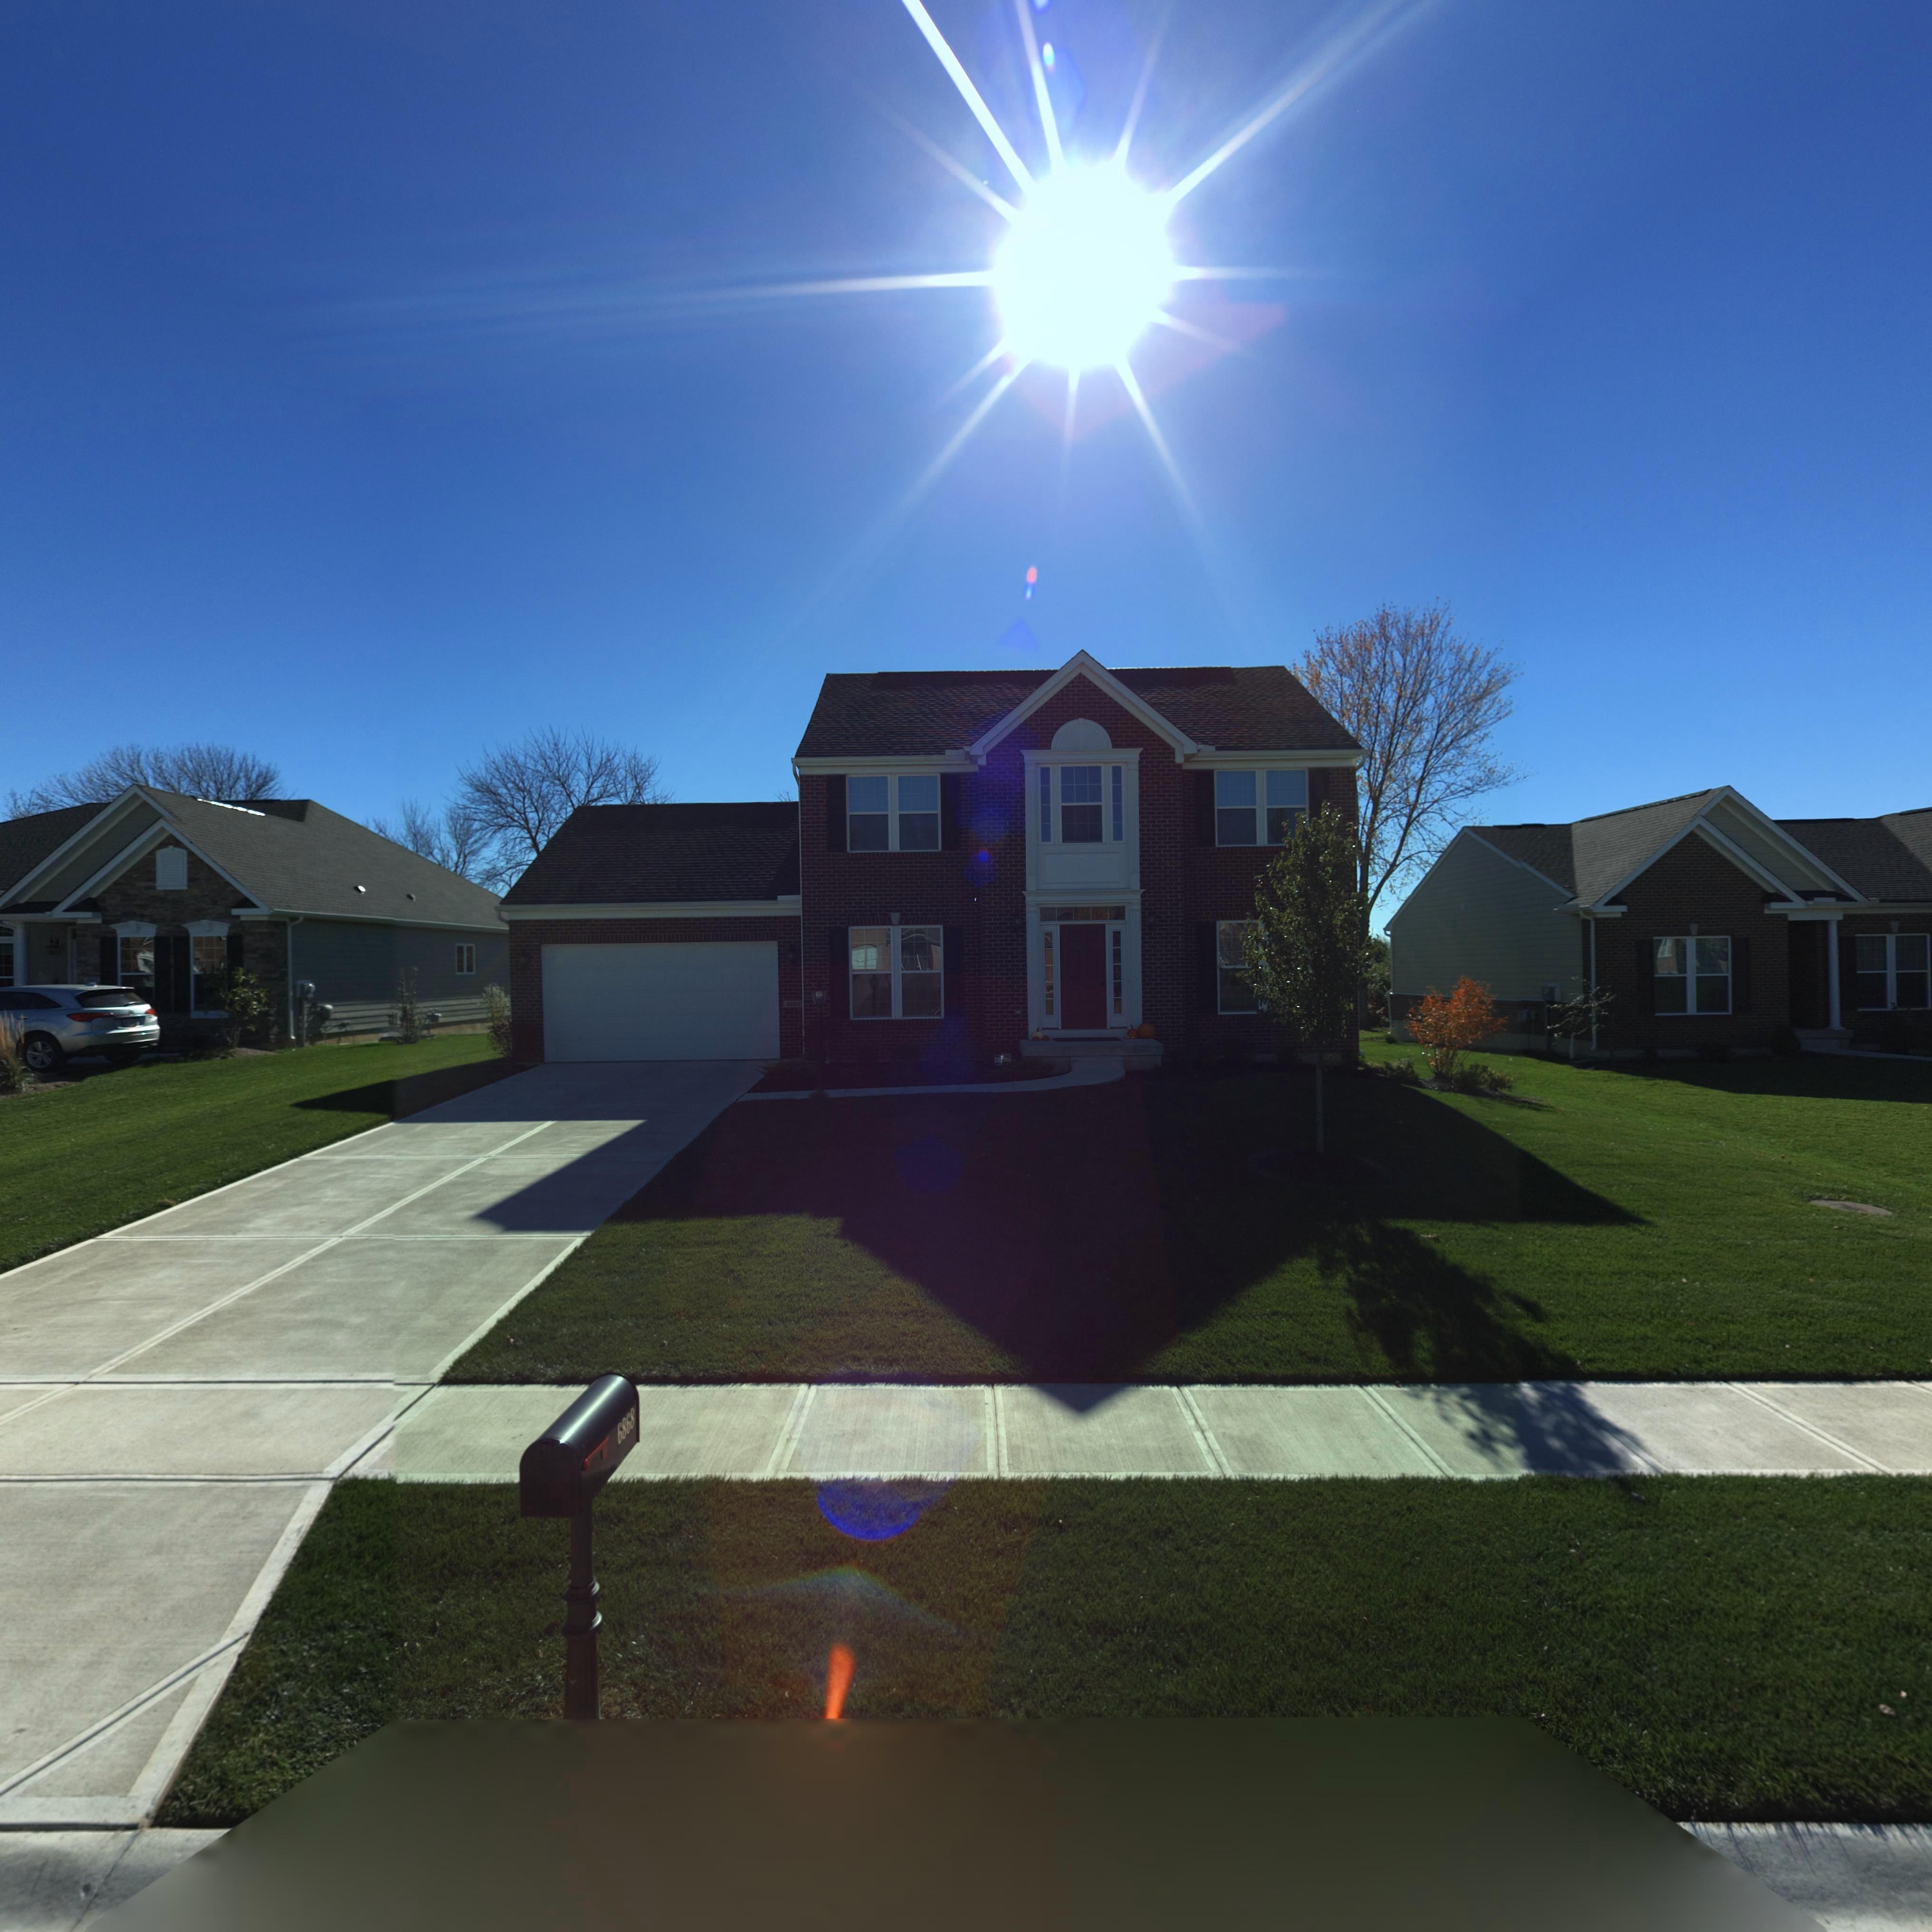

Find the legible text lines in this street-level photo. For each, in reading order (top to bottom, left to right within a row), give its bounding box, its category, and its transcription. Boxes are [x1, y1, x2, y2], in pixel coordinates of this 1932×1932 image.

[785, 1001, 802, 1007] StreetNumber: 68**
[616, 1404, 637, 1448] StreetNumber: 6868